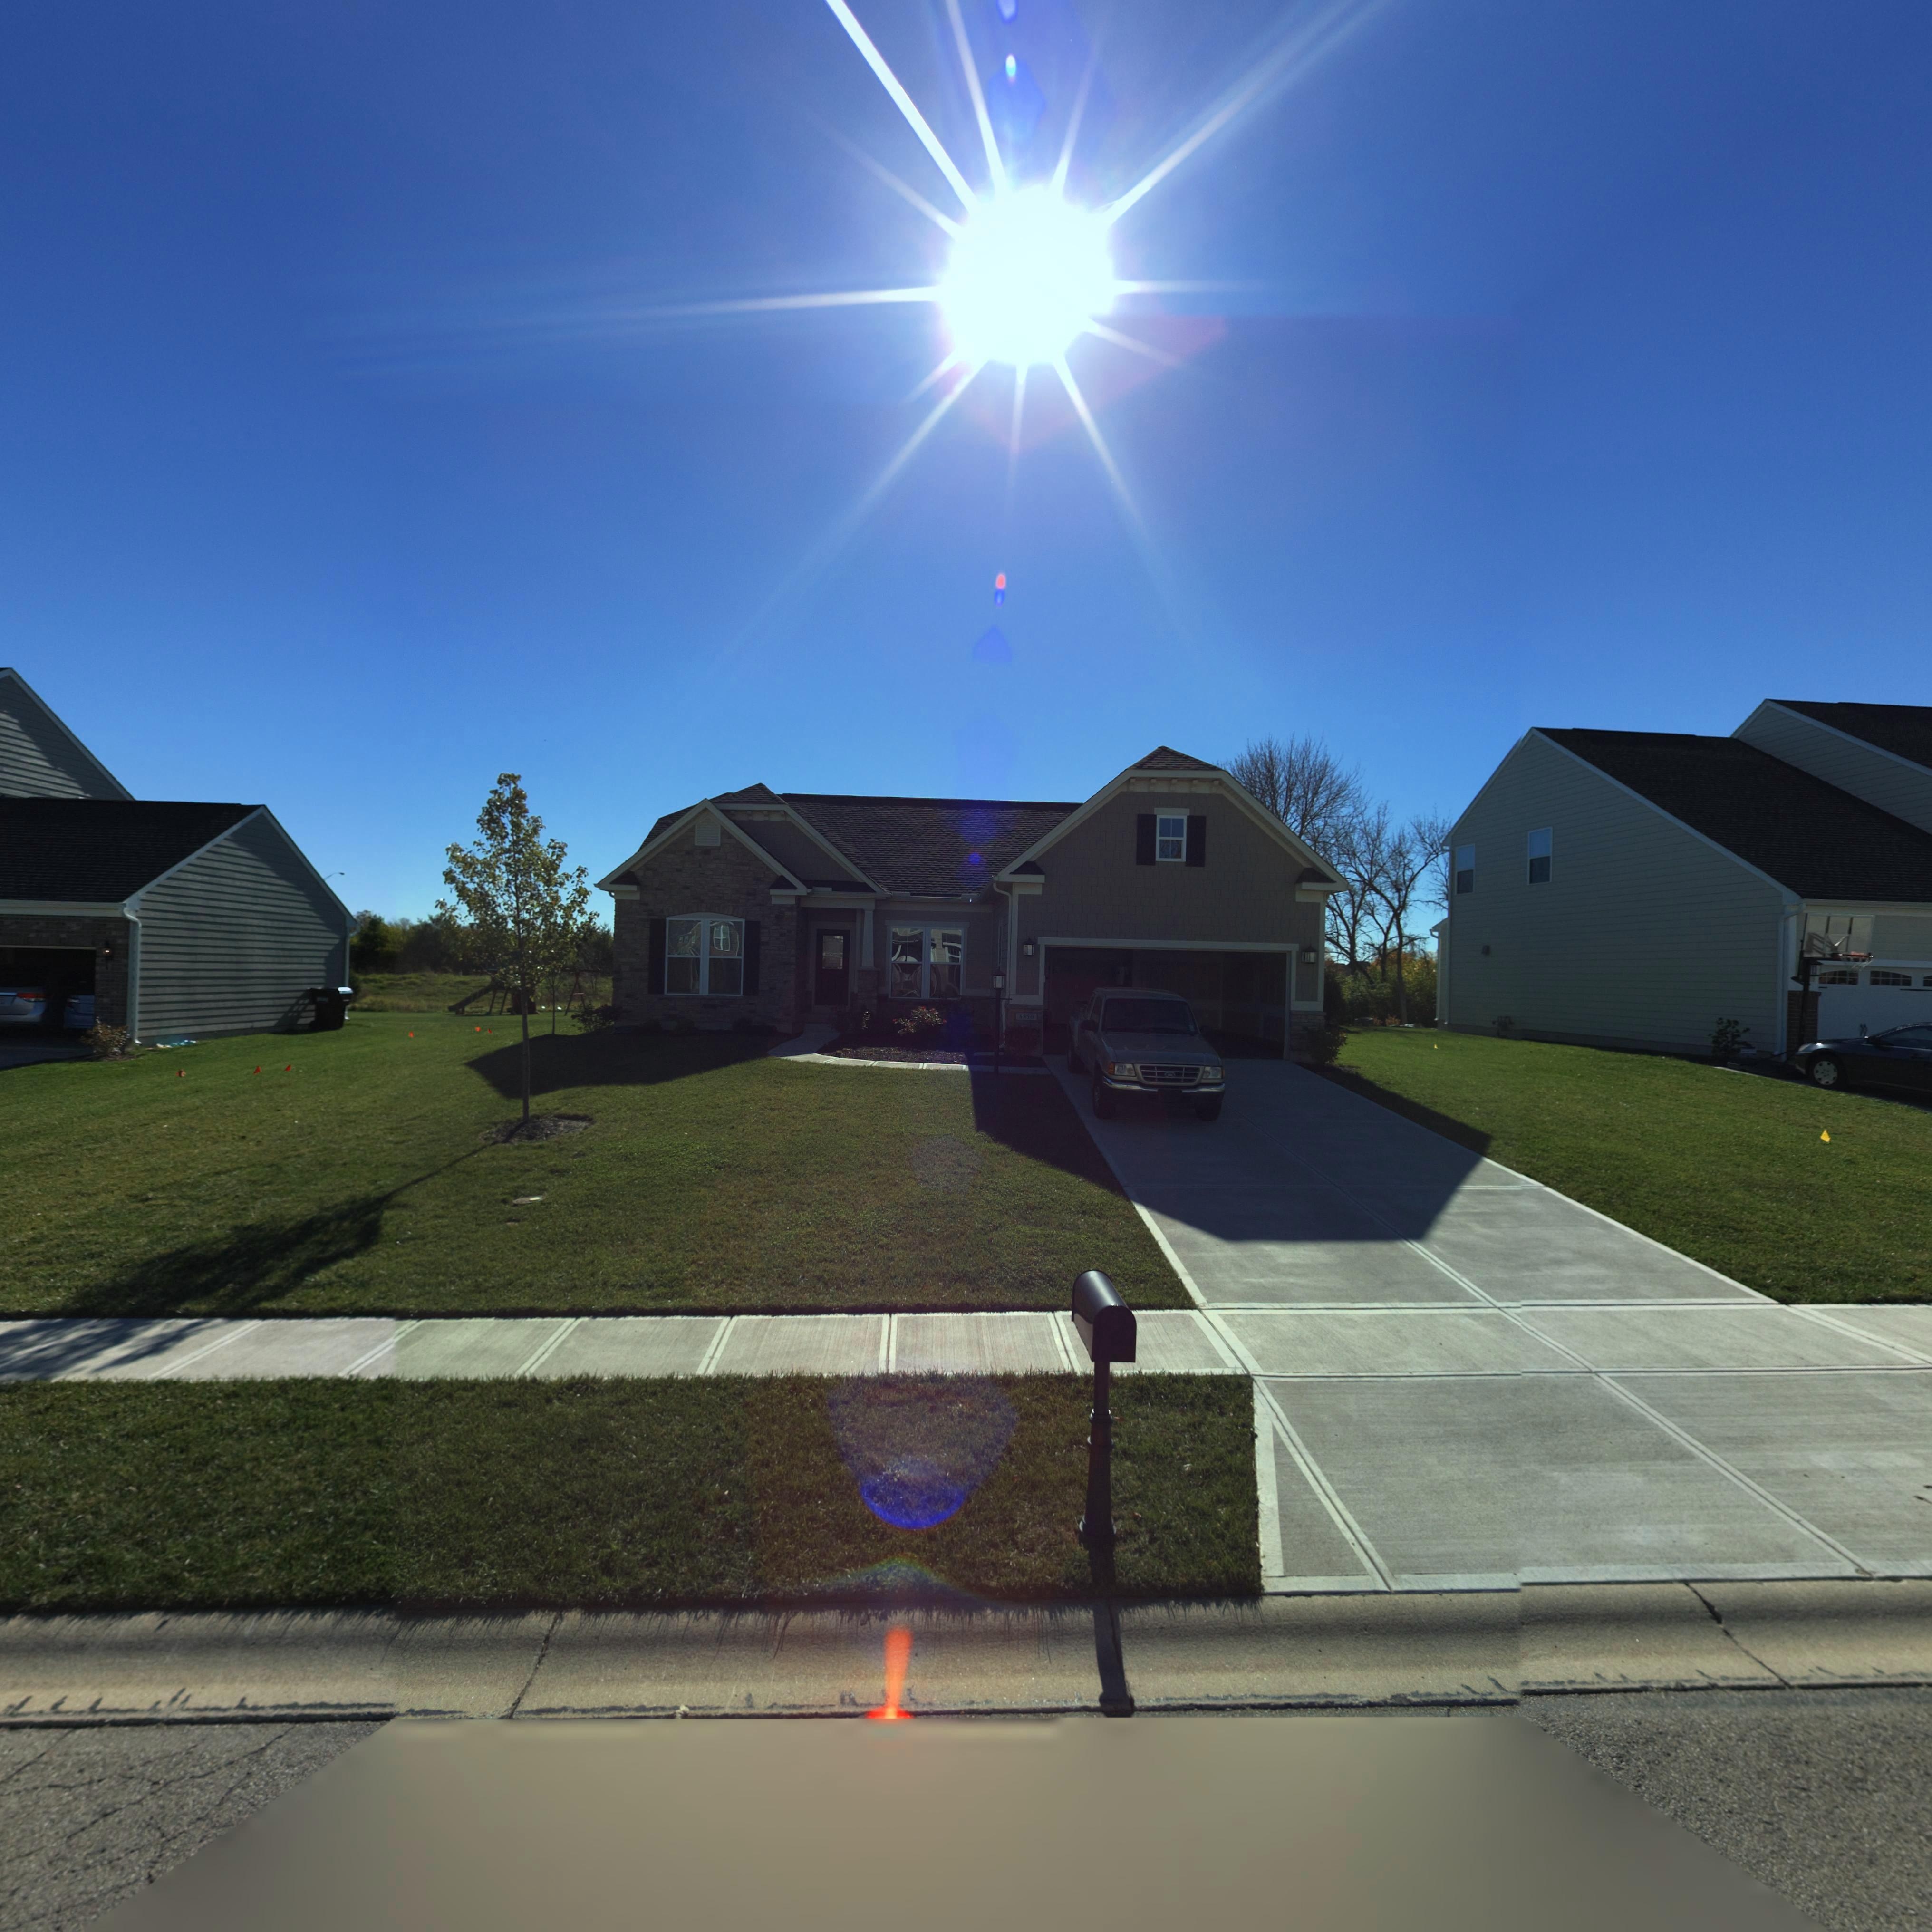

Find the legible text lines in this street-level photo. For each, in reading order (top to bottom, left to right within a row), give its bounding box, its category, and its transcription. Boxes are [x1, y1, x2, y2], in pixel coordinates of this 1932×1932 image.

[1018, 1014, 1034, 1020] StreetNumber: 6850